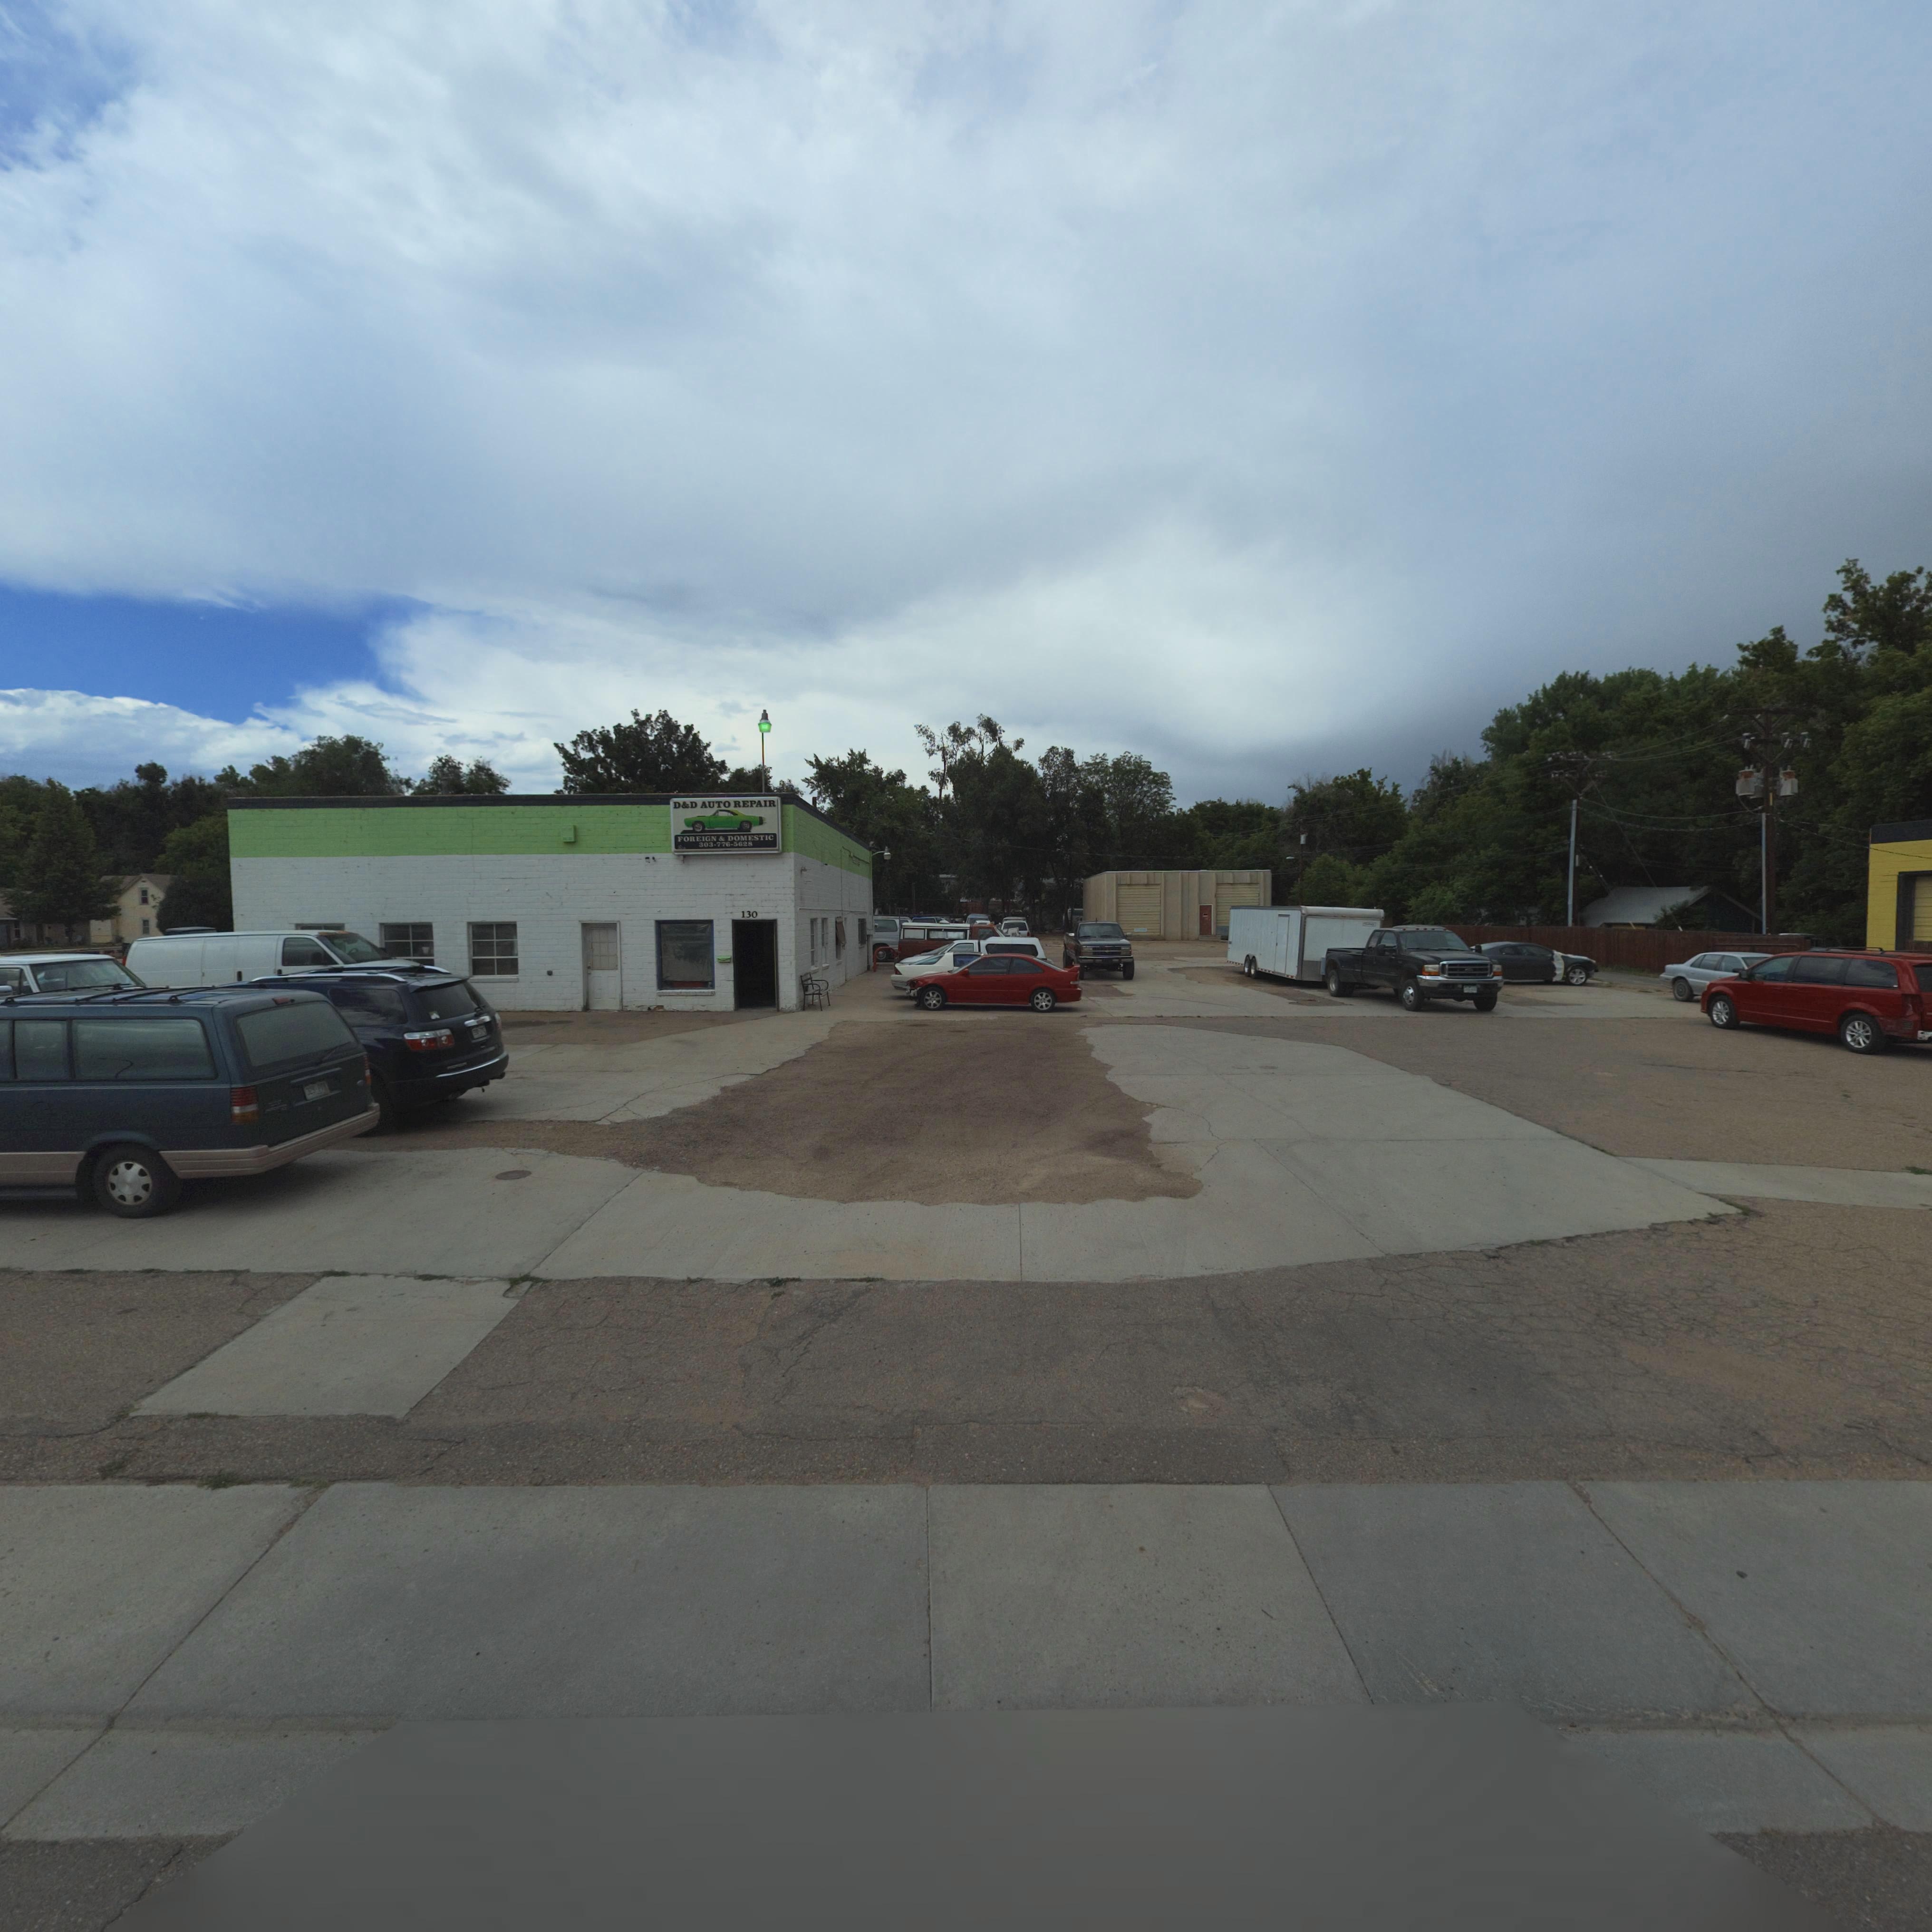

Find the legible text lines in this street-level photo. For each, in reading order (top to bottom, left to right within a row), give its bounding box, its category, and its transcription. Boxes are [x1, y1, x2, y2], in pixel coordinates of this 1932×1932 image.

[673, 800, 776, 809] BusinessName: D*D AUTO REPAIR
[741, 910, 758, 918] StreetNumber: 130